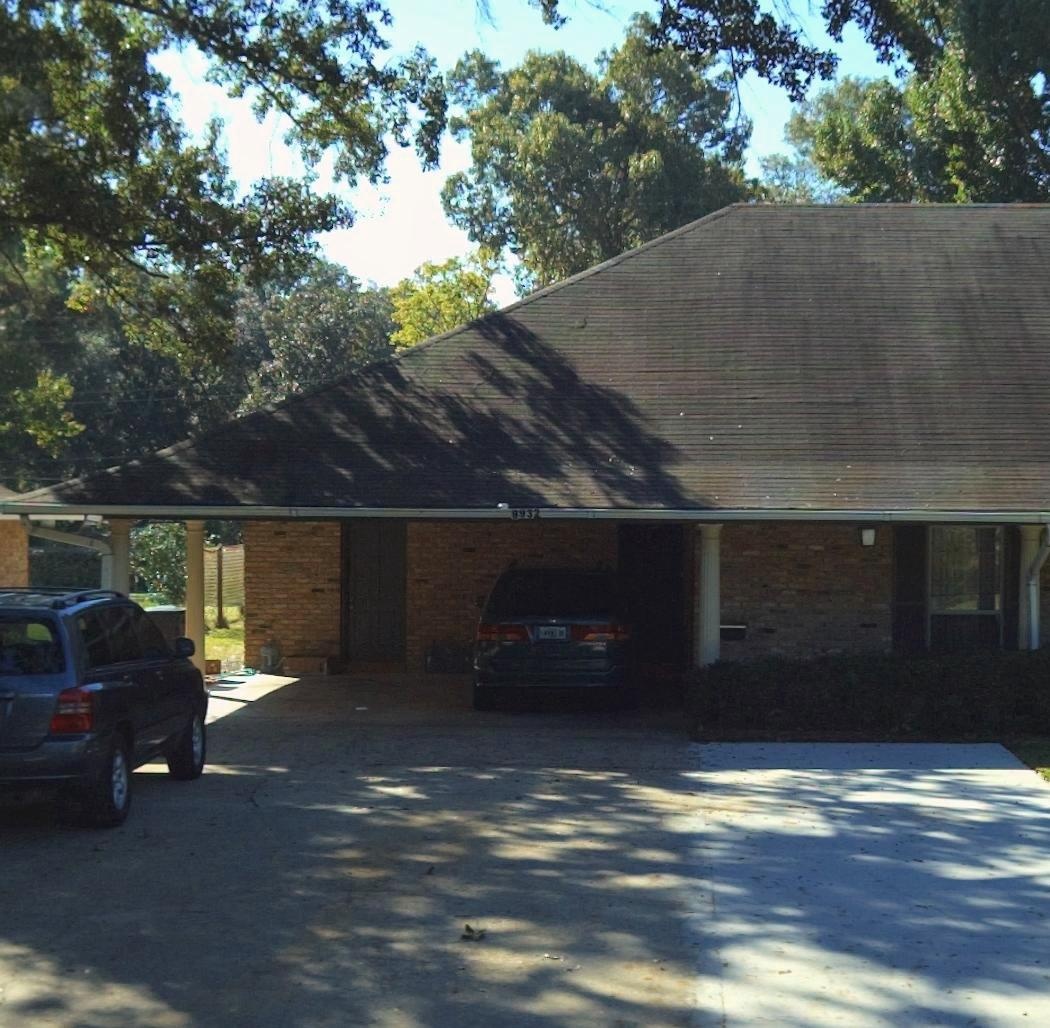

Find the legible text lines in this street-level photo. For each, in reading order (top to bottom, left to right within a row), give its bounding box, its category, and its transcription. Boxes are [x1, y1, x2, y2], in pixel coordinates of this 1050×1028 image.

[510, 507, 542, 521] StreetNumber: *932